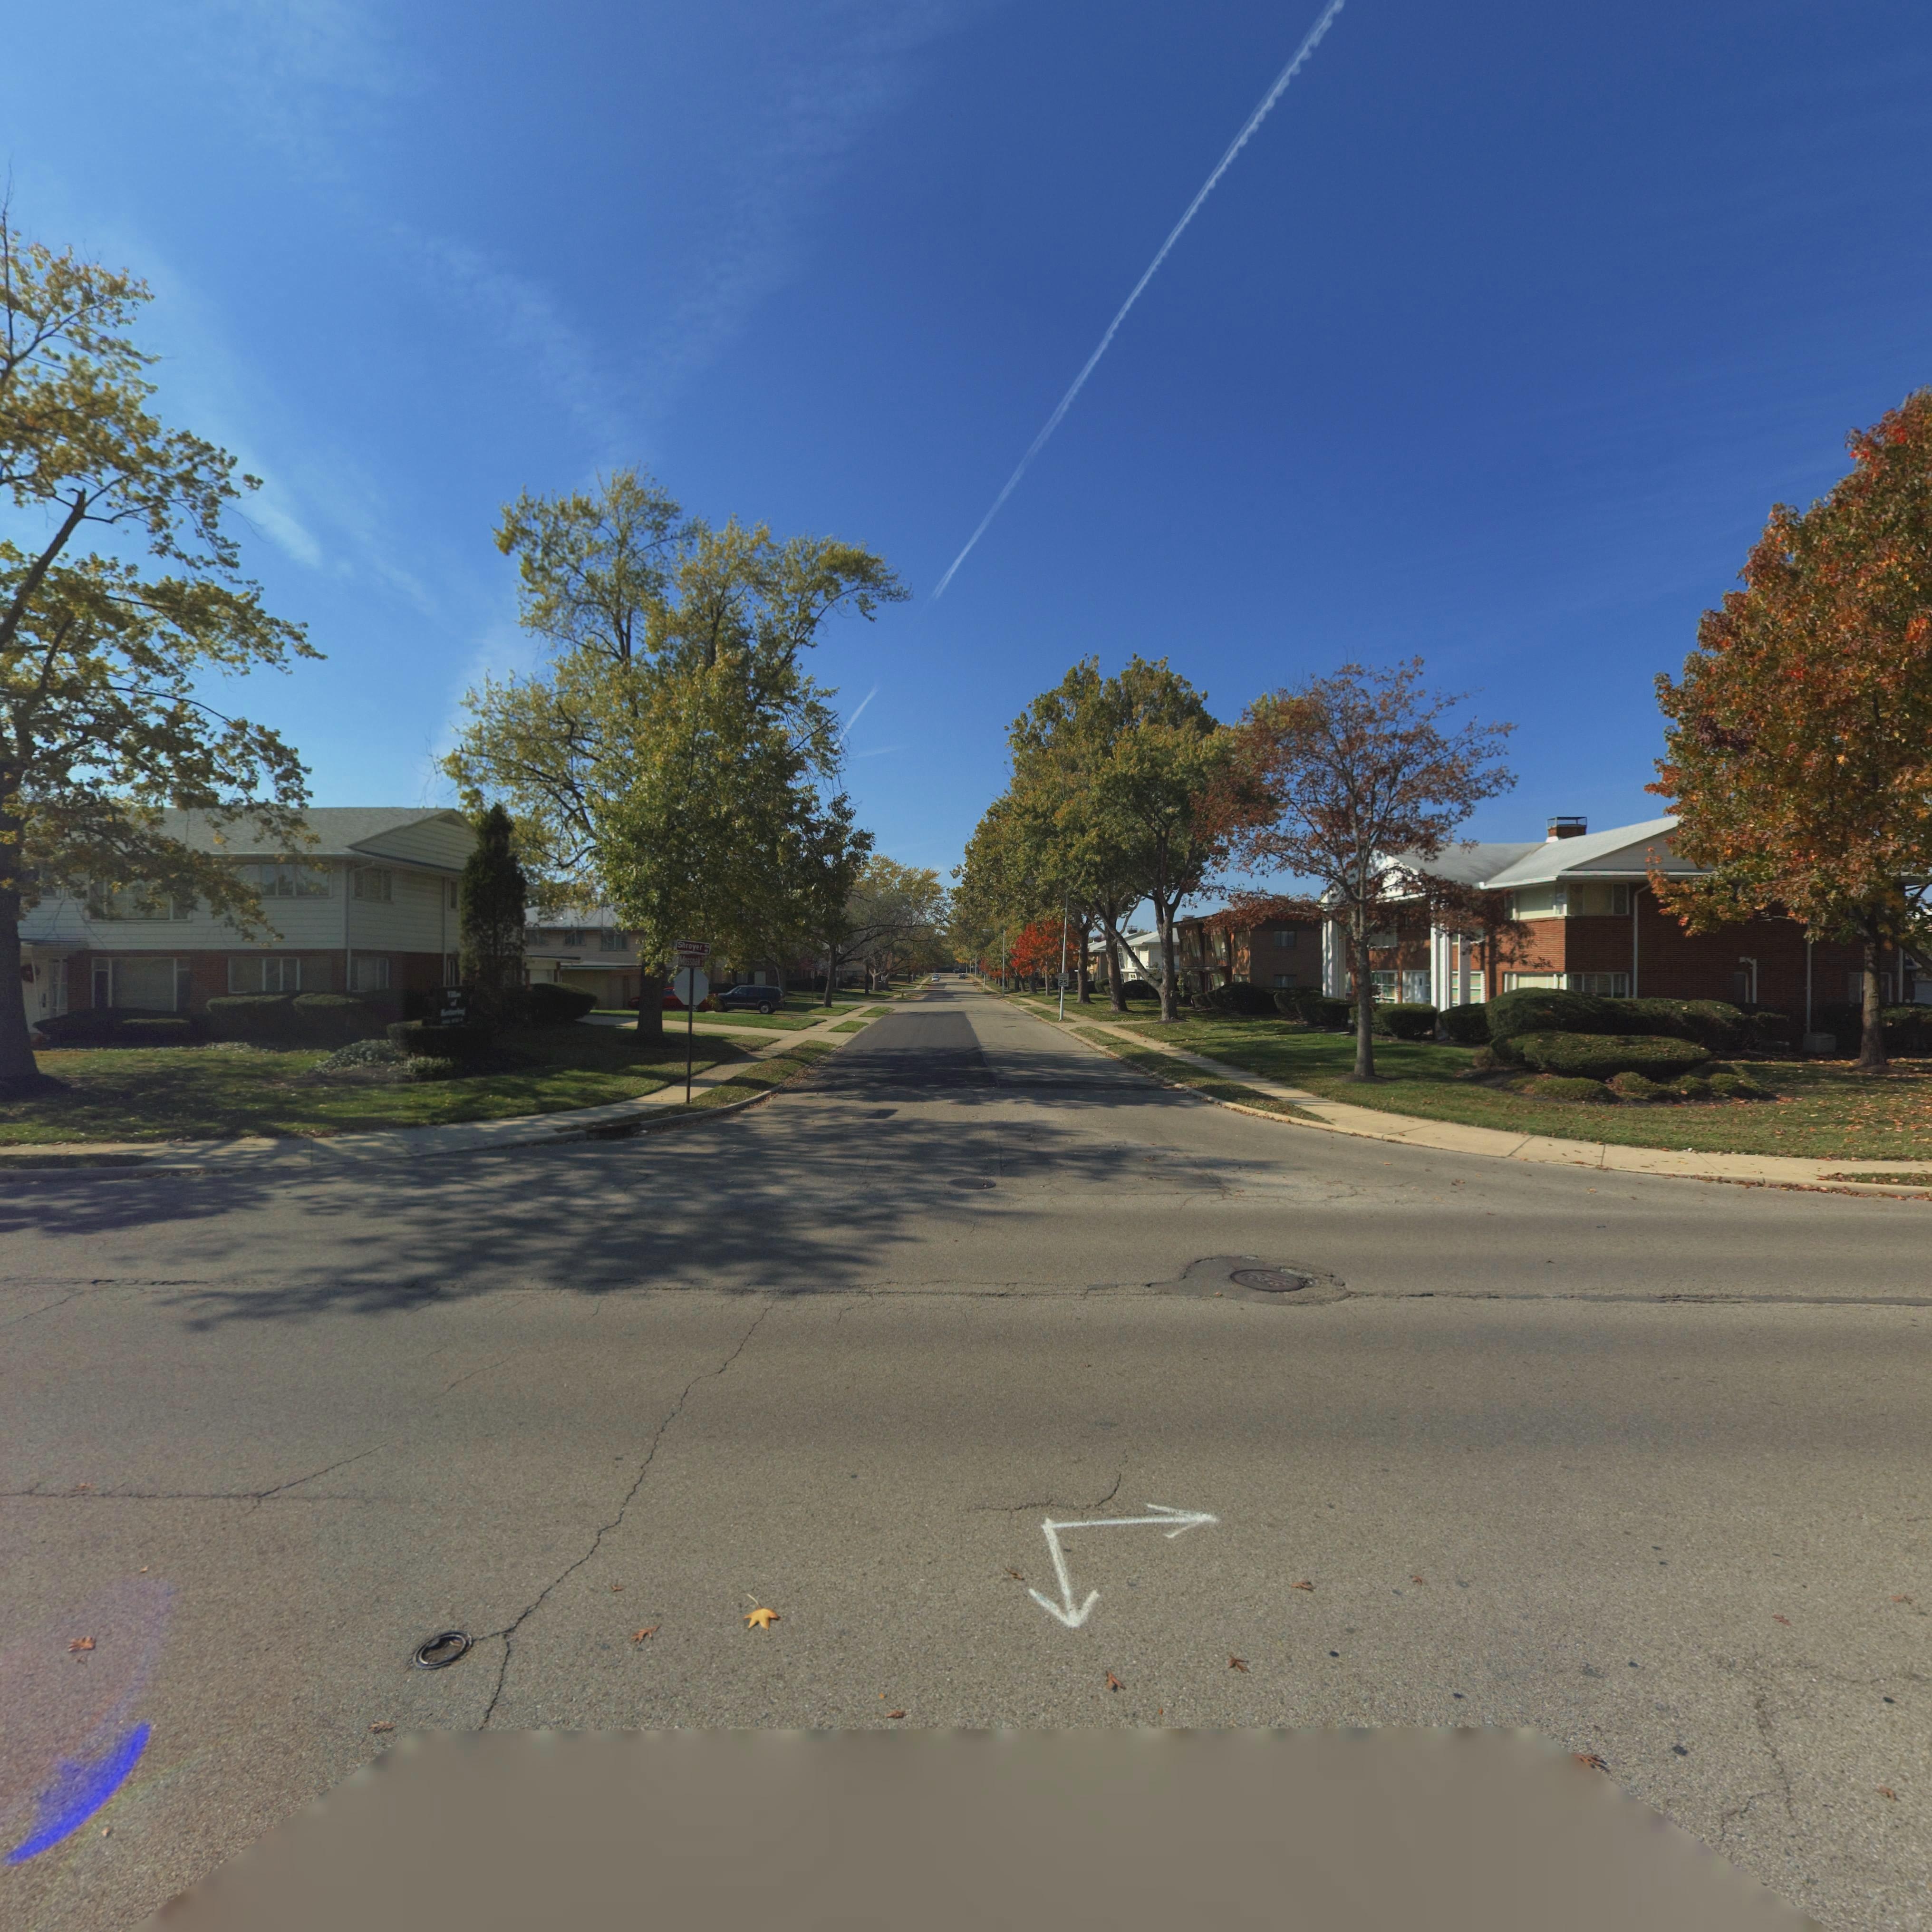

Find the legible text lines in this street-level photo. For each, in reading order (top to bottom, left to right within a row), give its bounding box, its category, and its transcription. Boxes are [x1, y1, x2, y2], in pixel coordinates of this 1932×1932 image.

[677, 941, 703, 952] StreetName: Shroyer
[679, 955, 701, 967] StreetName: Mossoak